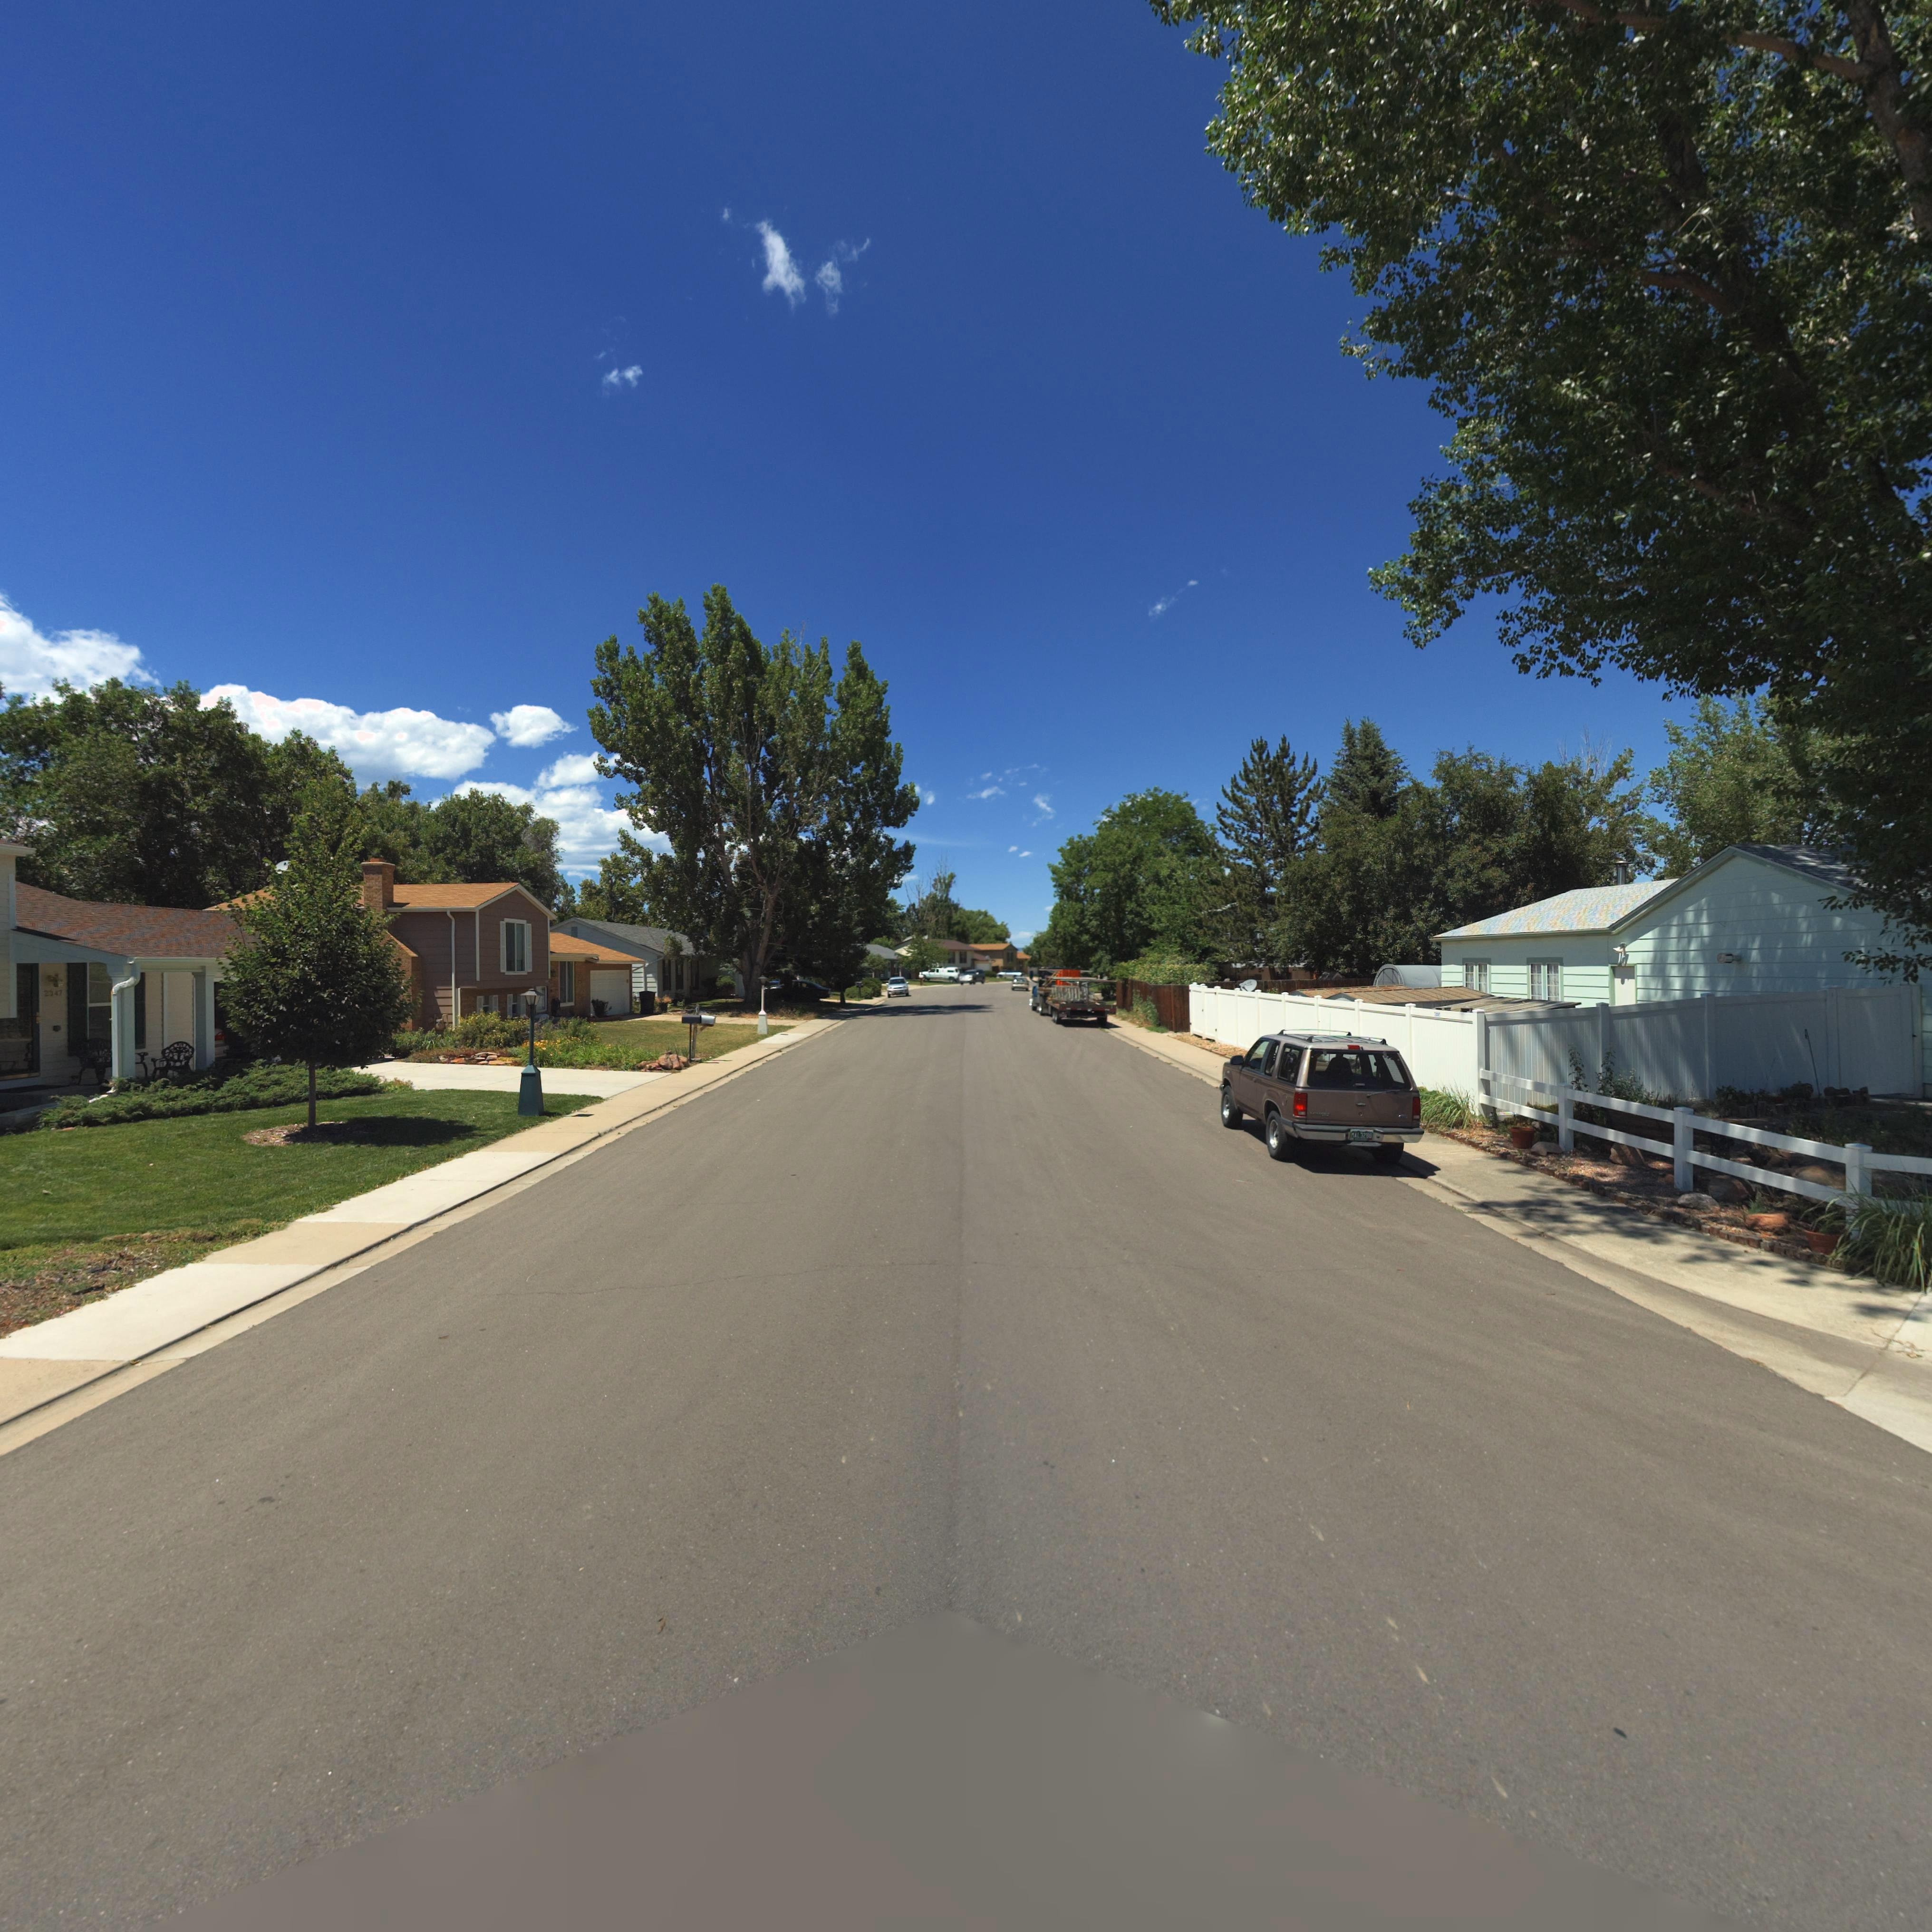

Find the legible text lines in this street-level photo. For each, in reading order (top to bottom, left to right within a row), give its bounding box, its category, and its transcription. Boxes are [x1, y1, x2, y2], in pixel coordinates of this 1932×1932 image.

[43, 990, 62, 996] StreetNumber: 2347